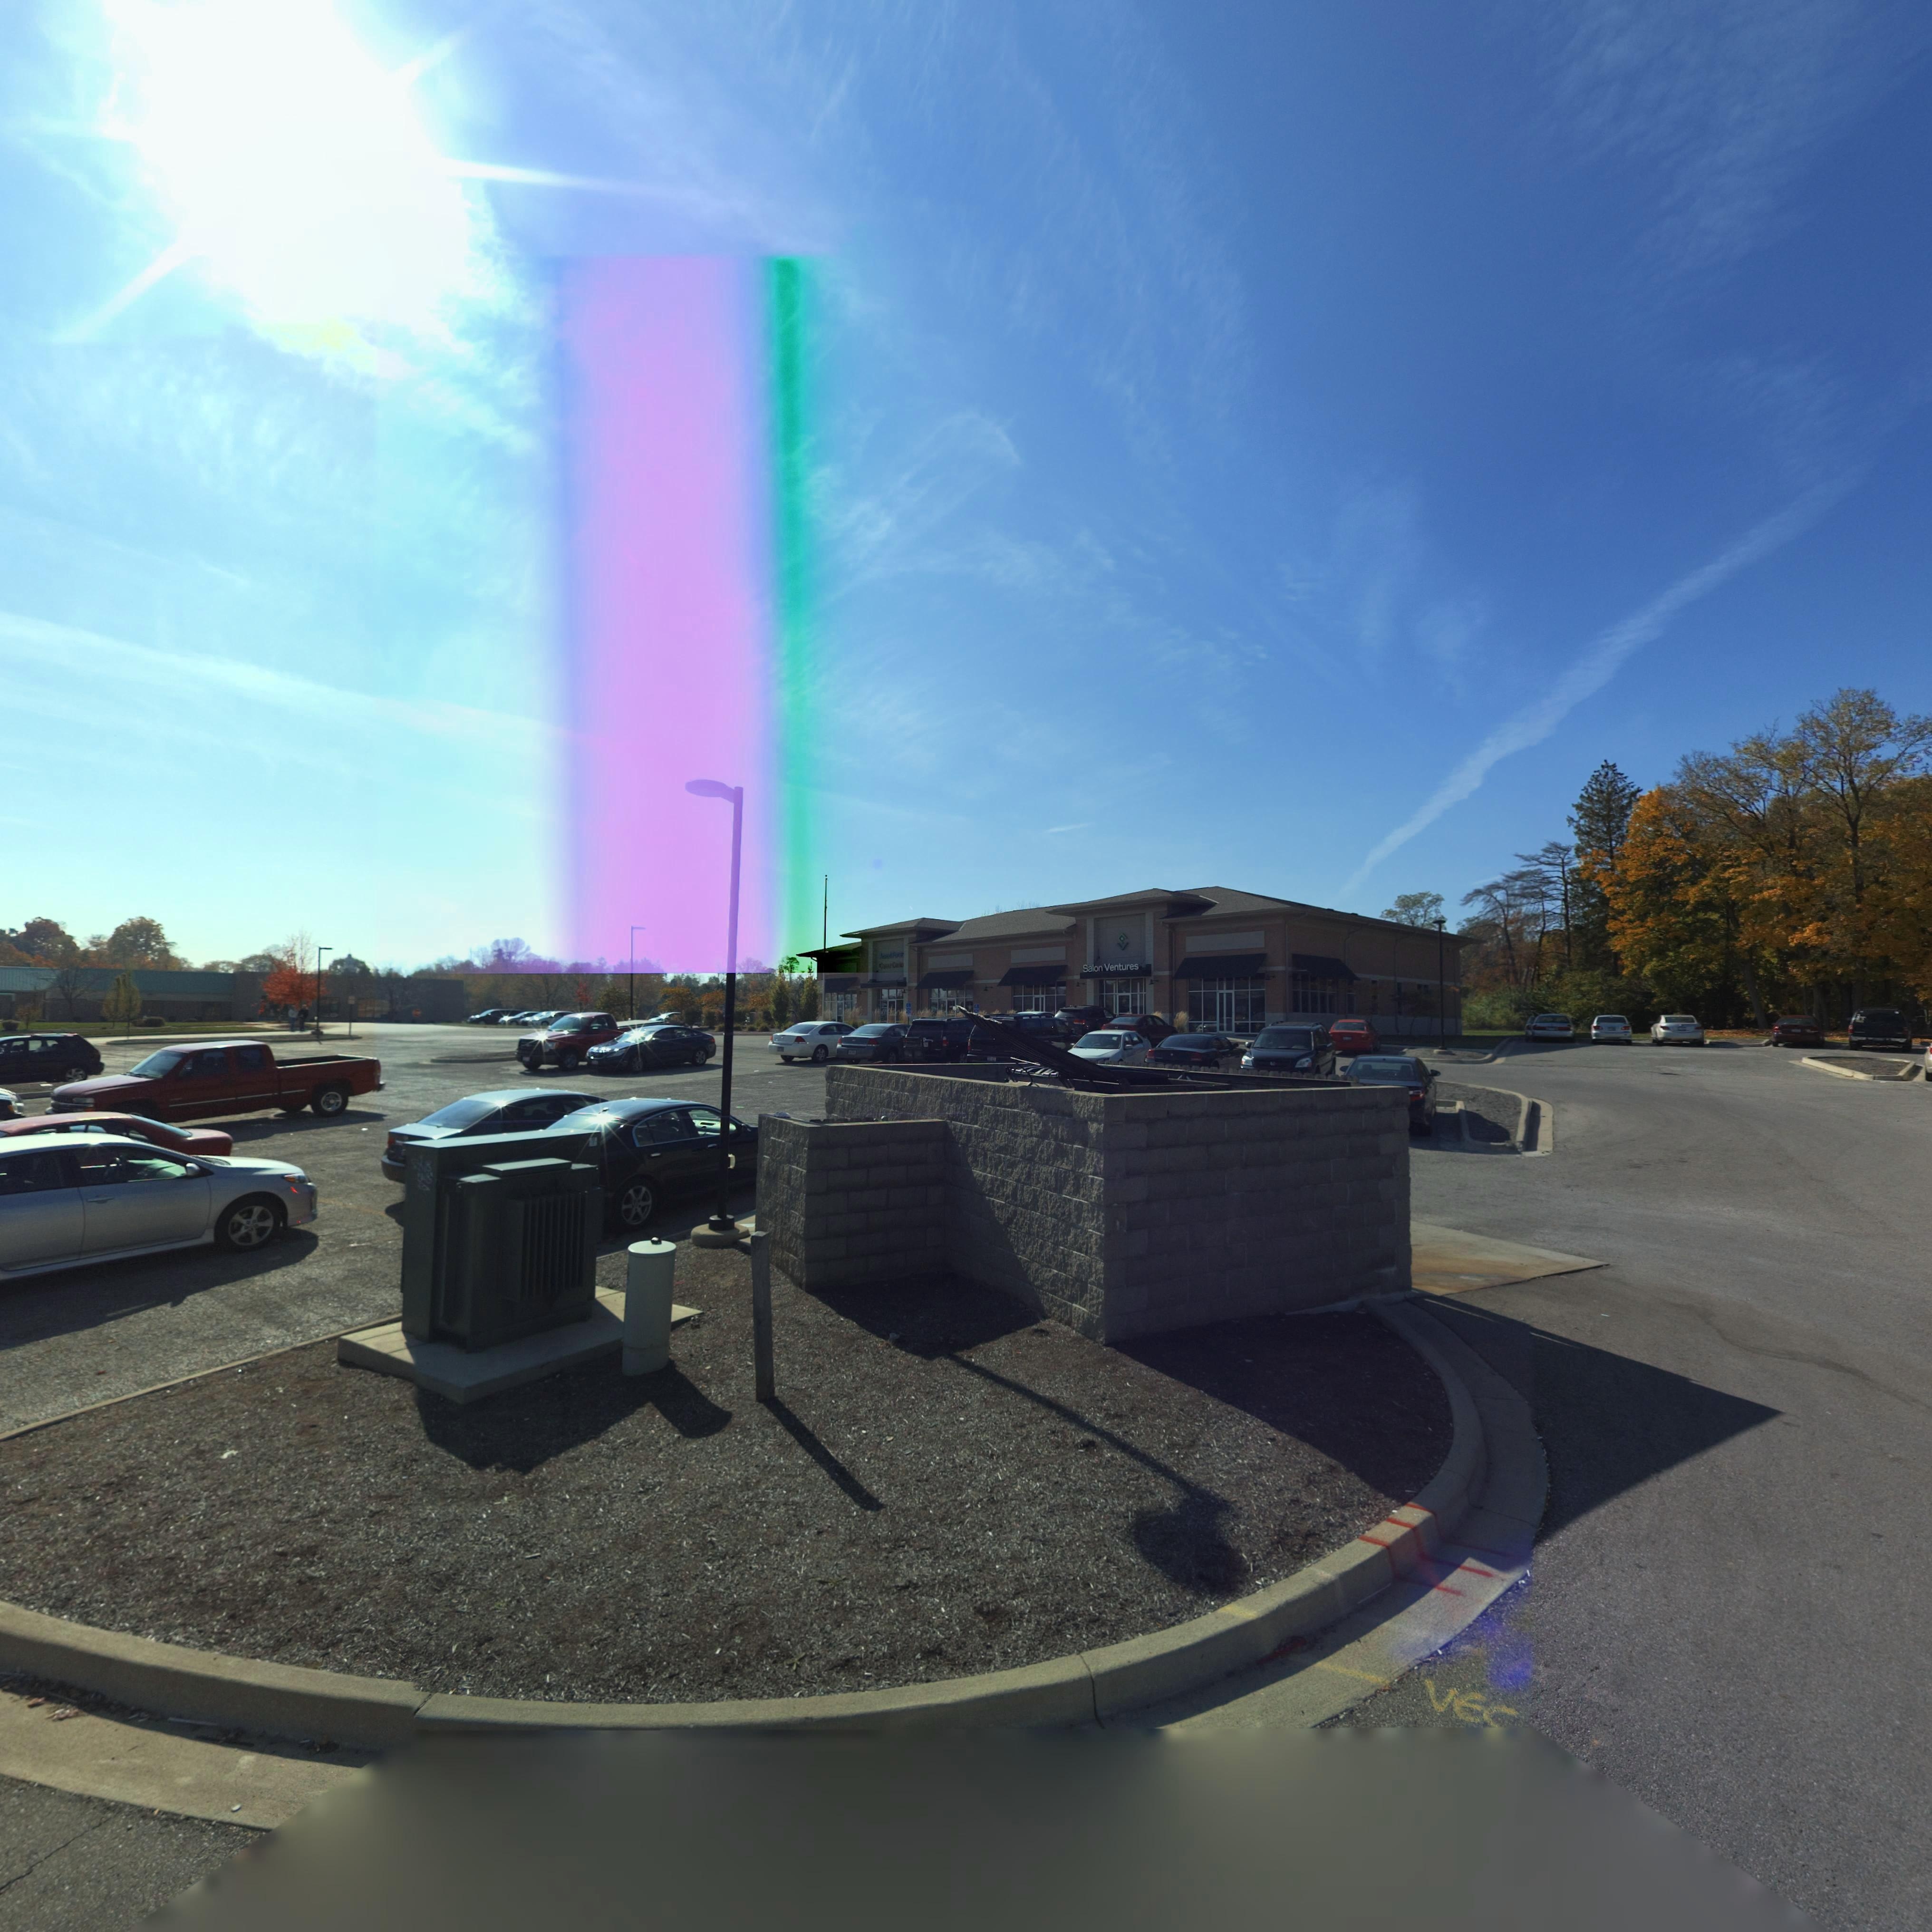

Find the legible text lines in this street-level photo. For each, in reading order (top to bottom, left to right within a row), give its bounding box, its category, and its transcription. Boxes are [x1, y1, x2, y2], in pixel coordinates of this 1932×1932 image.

[1082, 962, 1140, 974] BusinessName: Salon Ventures
[1420, 1675, 1490, 1729] None: VE